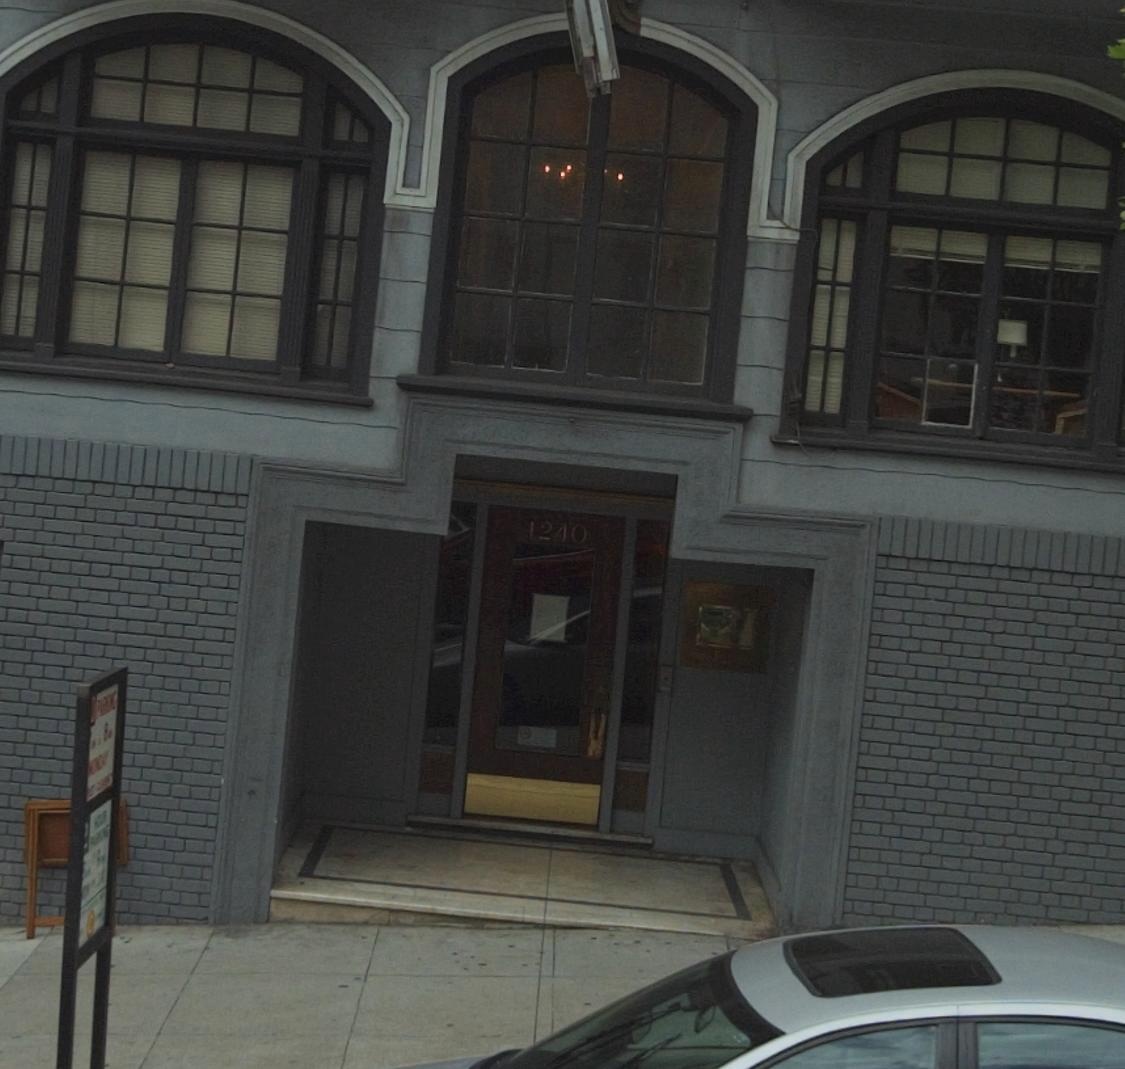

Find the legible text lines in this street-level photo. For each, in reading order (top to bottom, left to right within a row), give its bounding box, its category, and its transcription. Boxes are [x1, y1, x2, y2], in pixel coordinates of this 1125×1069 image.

[526, 518, 589, 546] StreetNumber: 1240